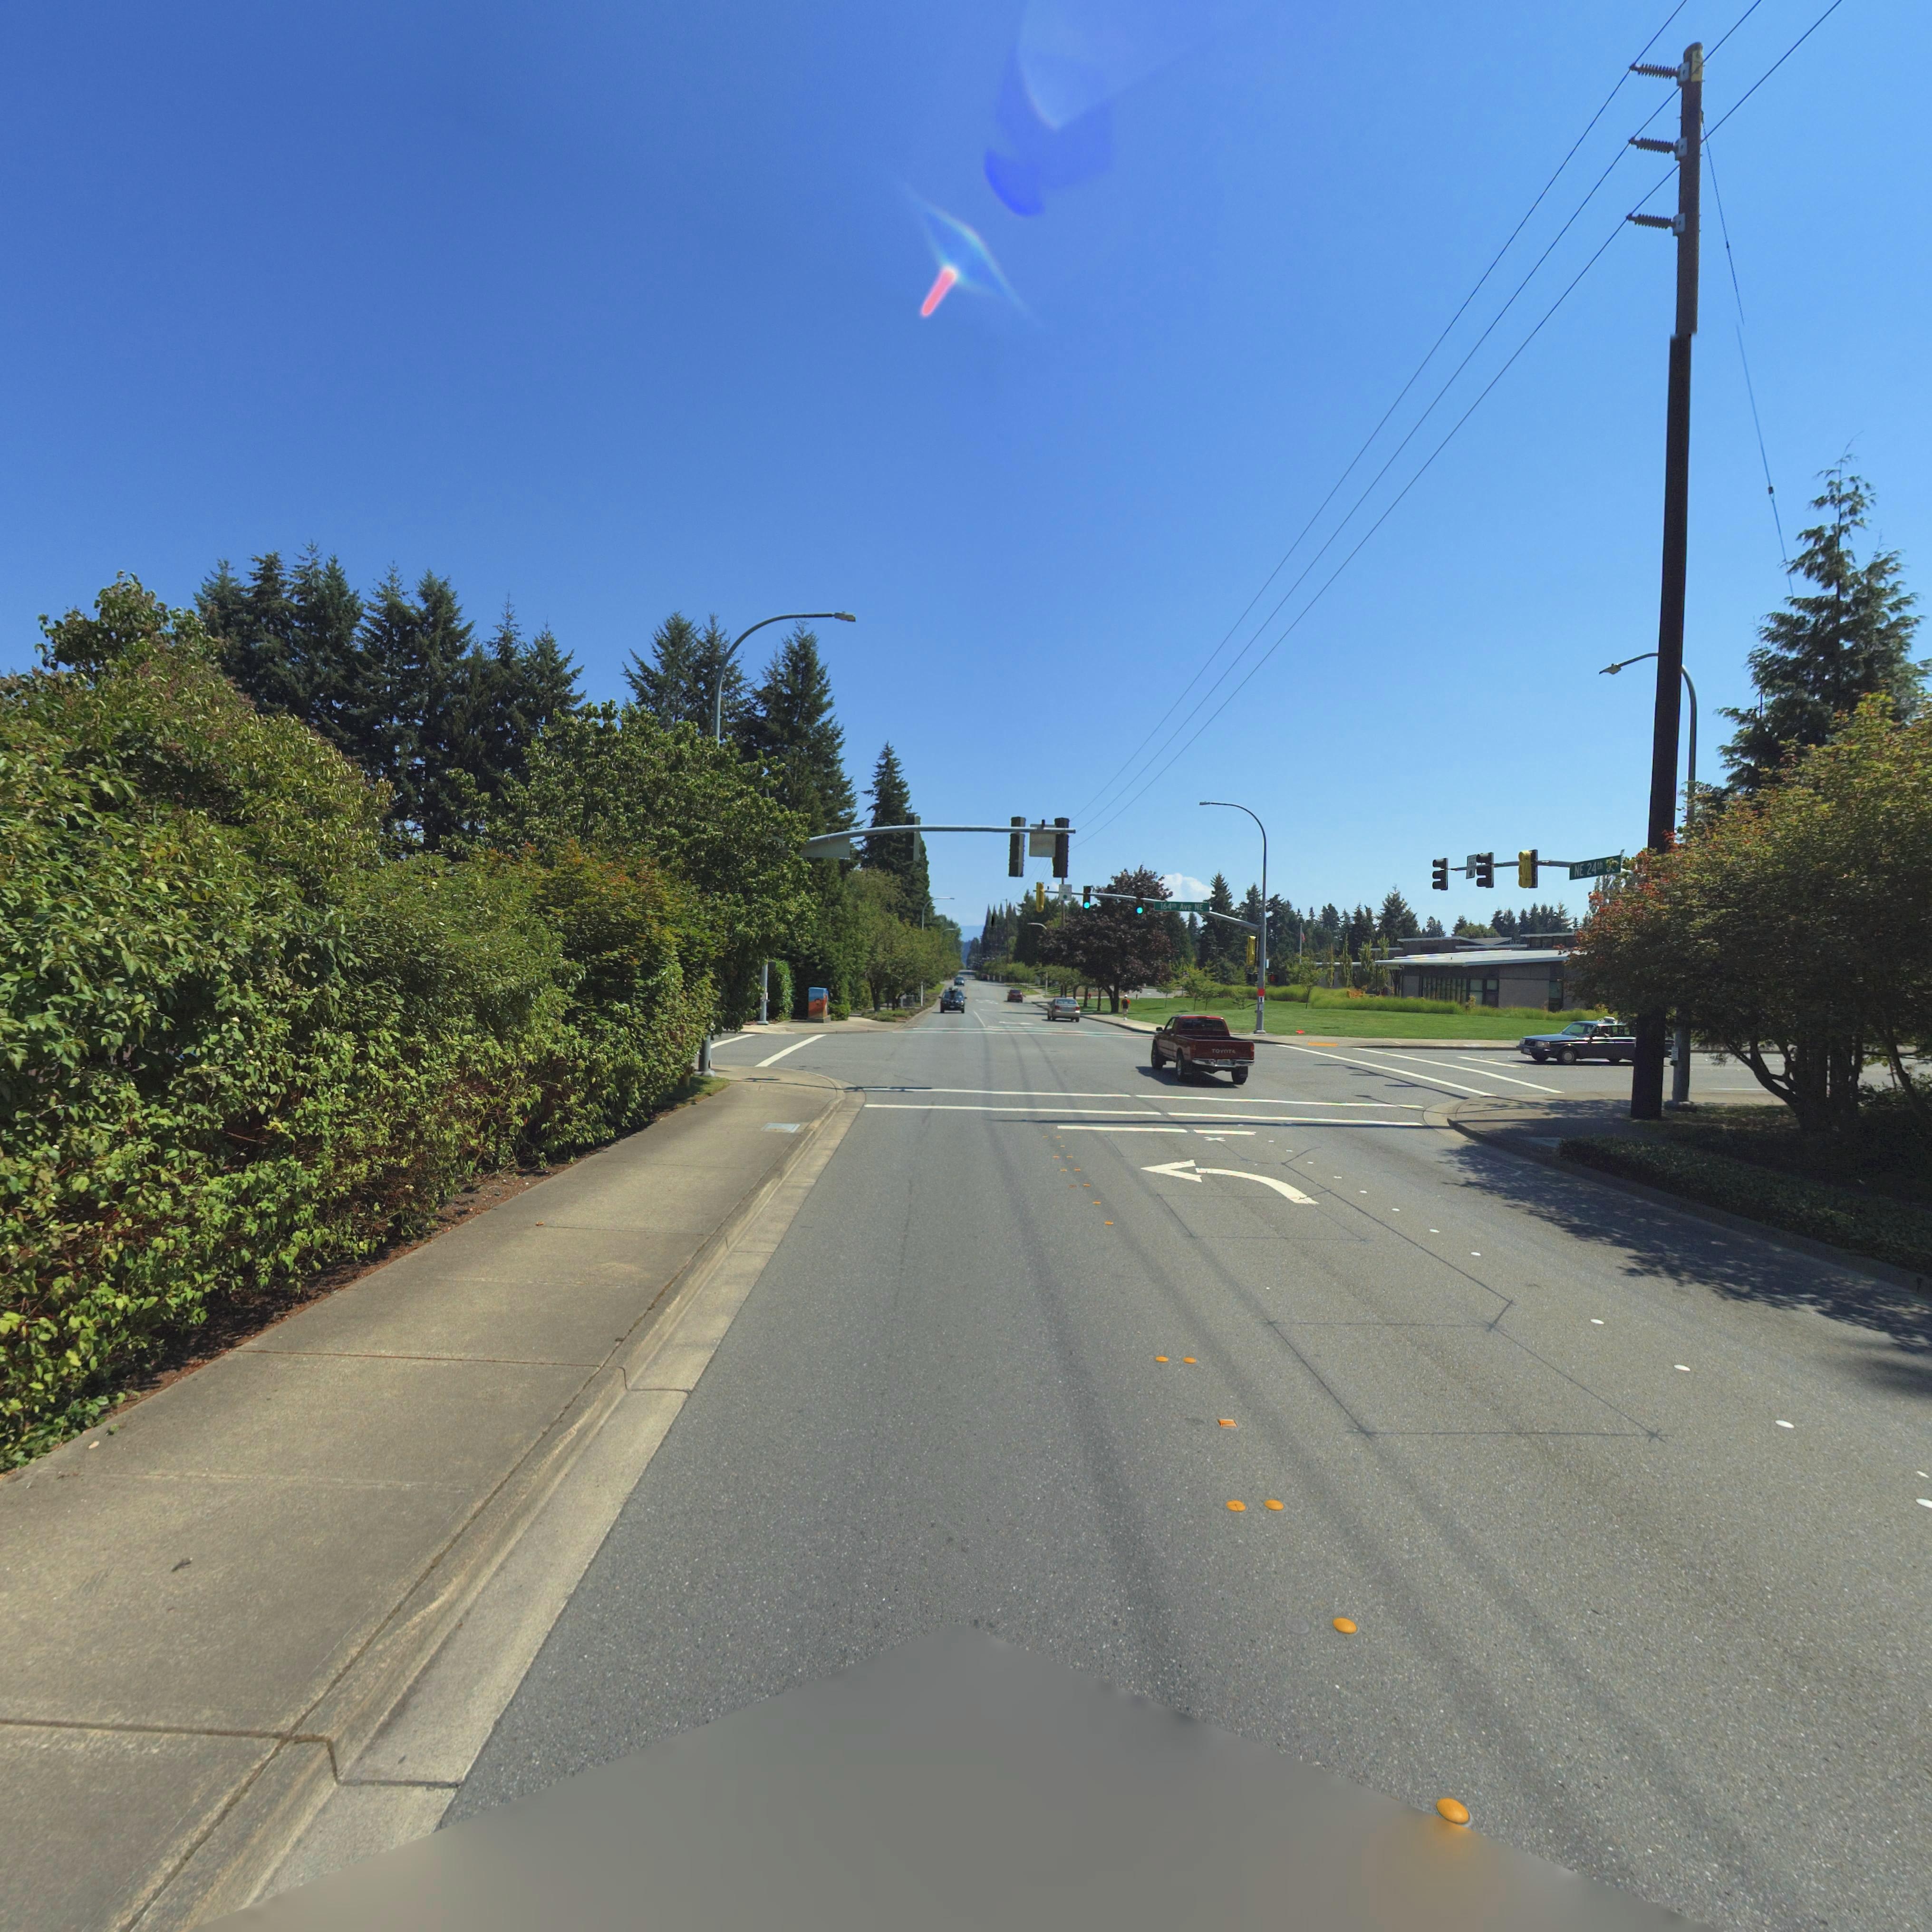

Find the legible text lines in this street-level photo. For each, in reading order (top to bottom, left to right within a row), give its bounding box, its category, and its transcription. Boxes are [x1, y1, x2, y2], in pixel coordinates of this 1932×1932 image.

[1575, 861, 1614, 877] StreetName: NE 24th *
[1160, 903, 1203, 910] StreetName: 164th Ave NE